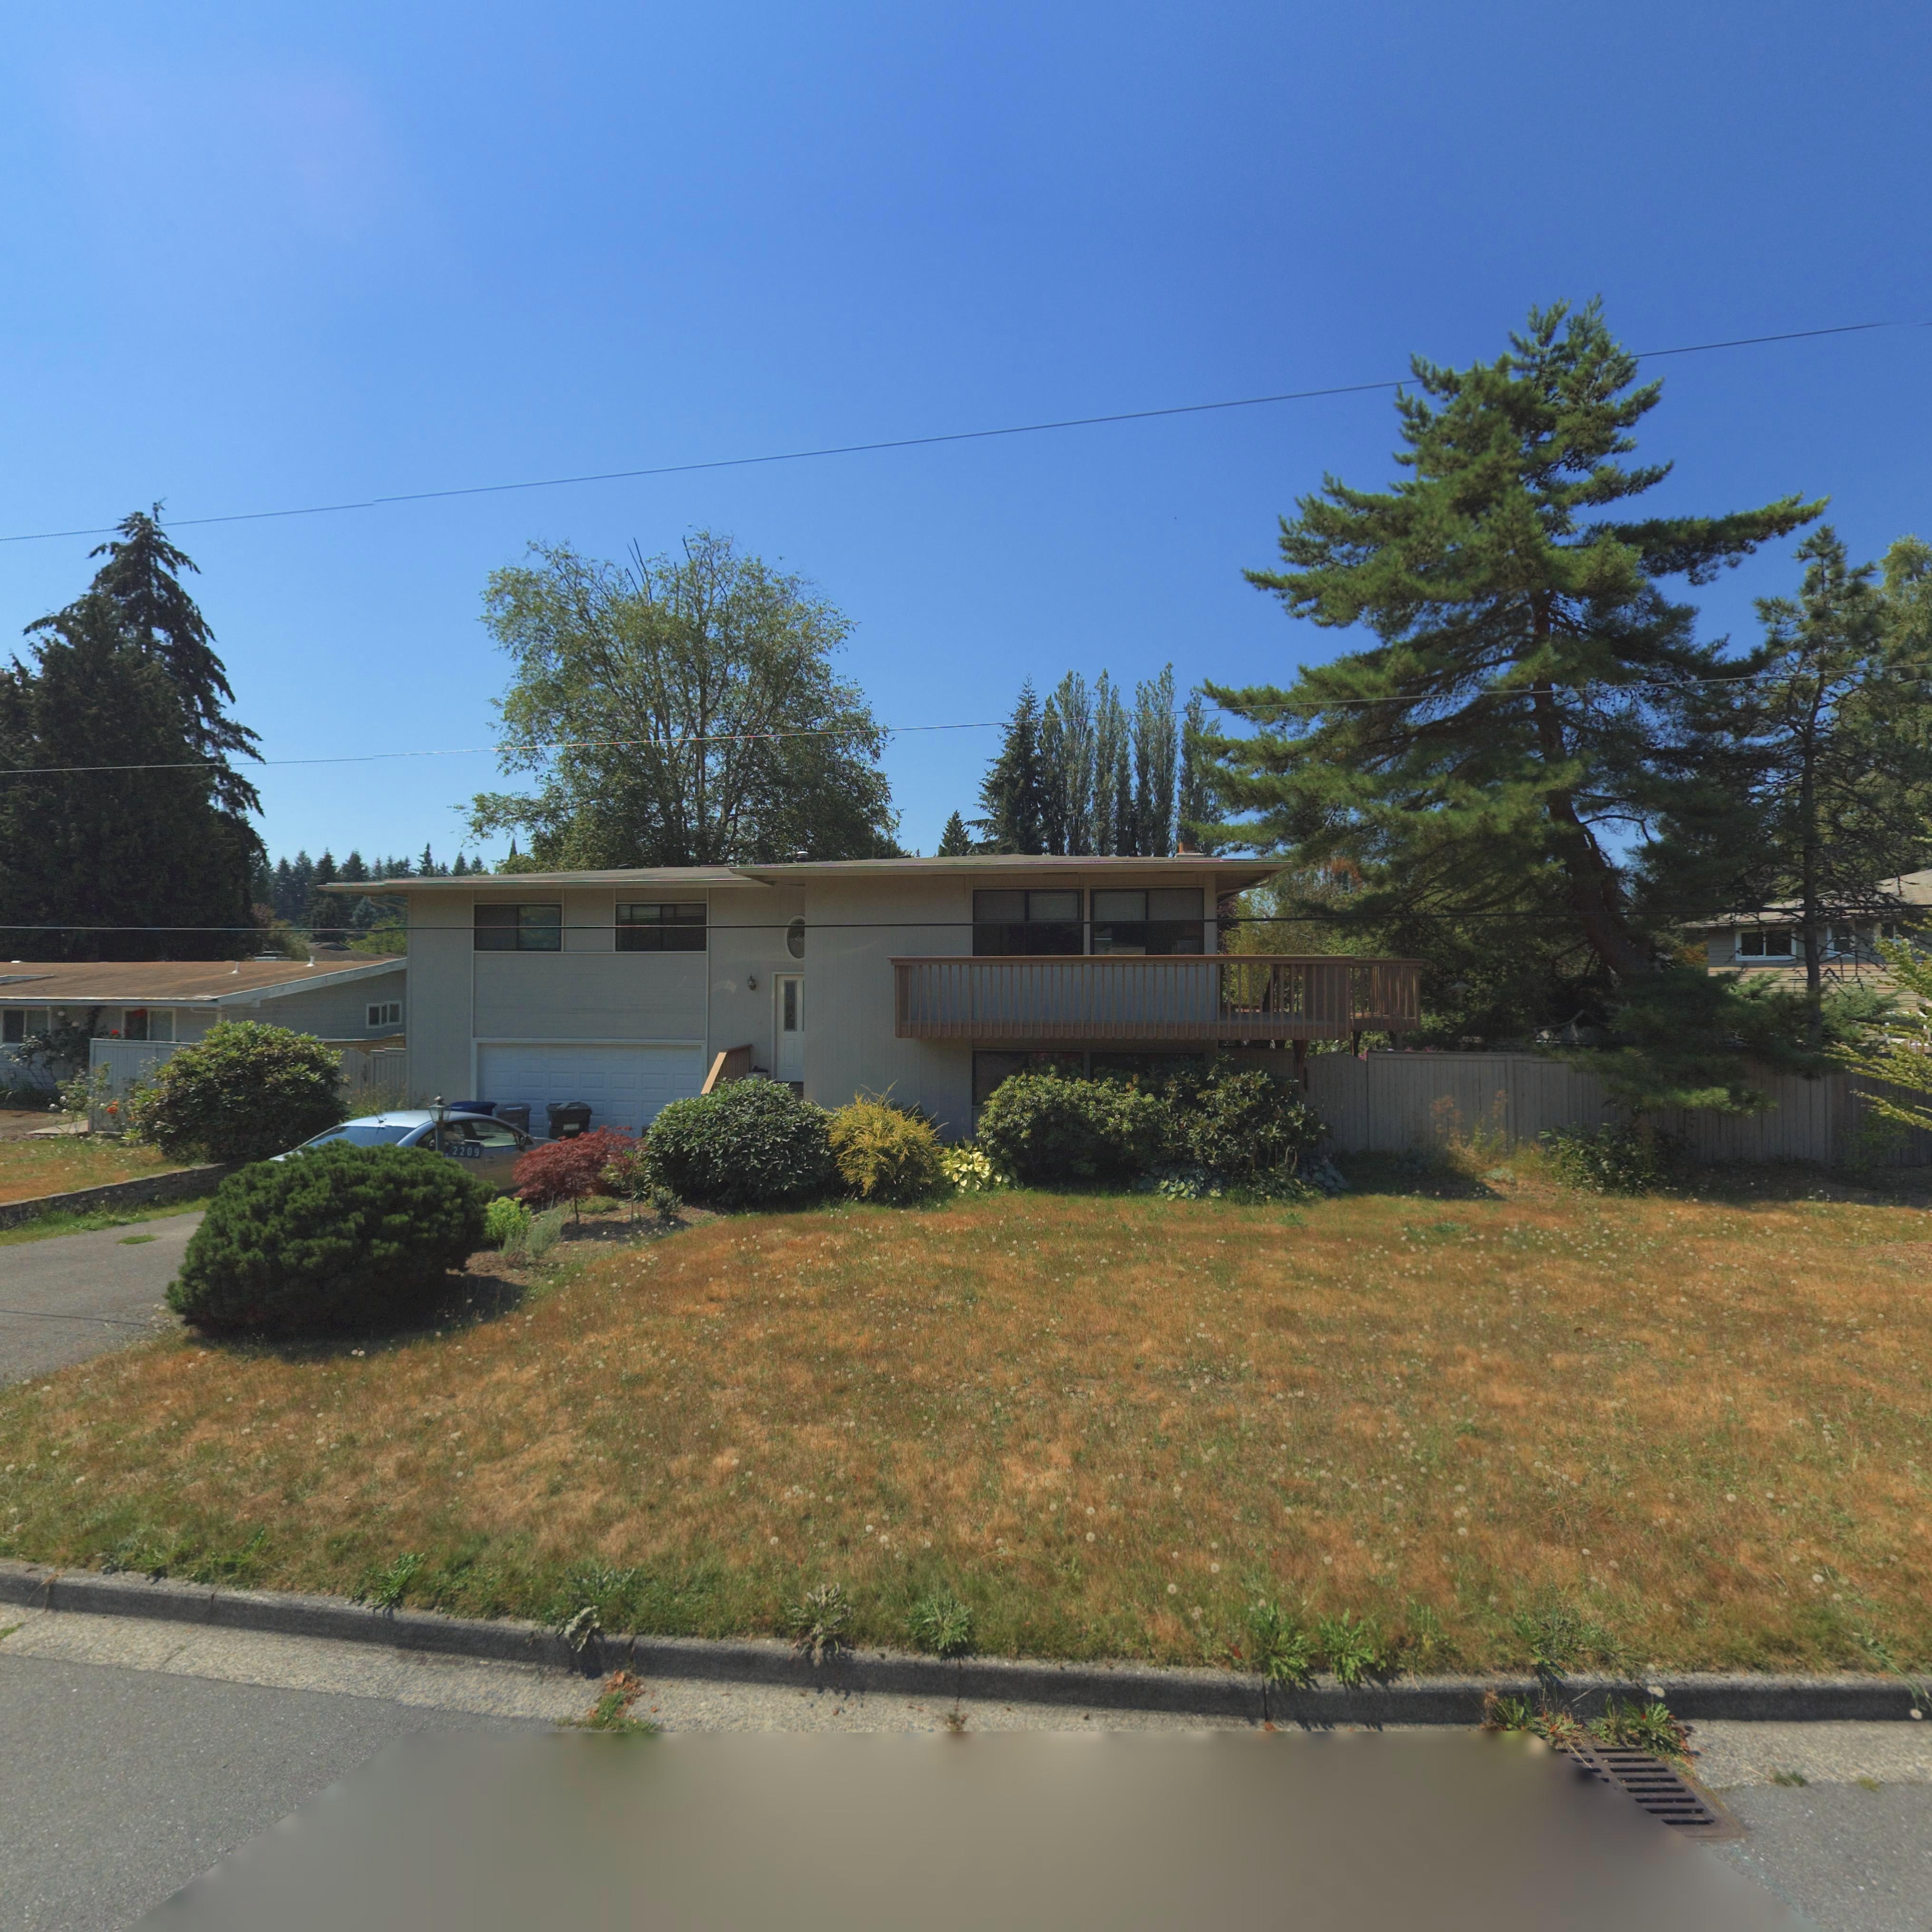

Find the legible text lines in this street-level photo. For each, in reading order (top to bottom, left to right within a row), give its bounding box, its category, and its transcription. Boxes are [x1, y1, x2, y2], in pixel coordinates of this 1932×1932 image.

[452, 1146, 479, 1157] StreetNumber: 2209